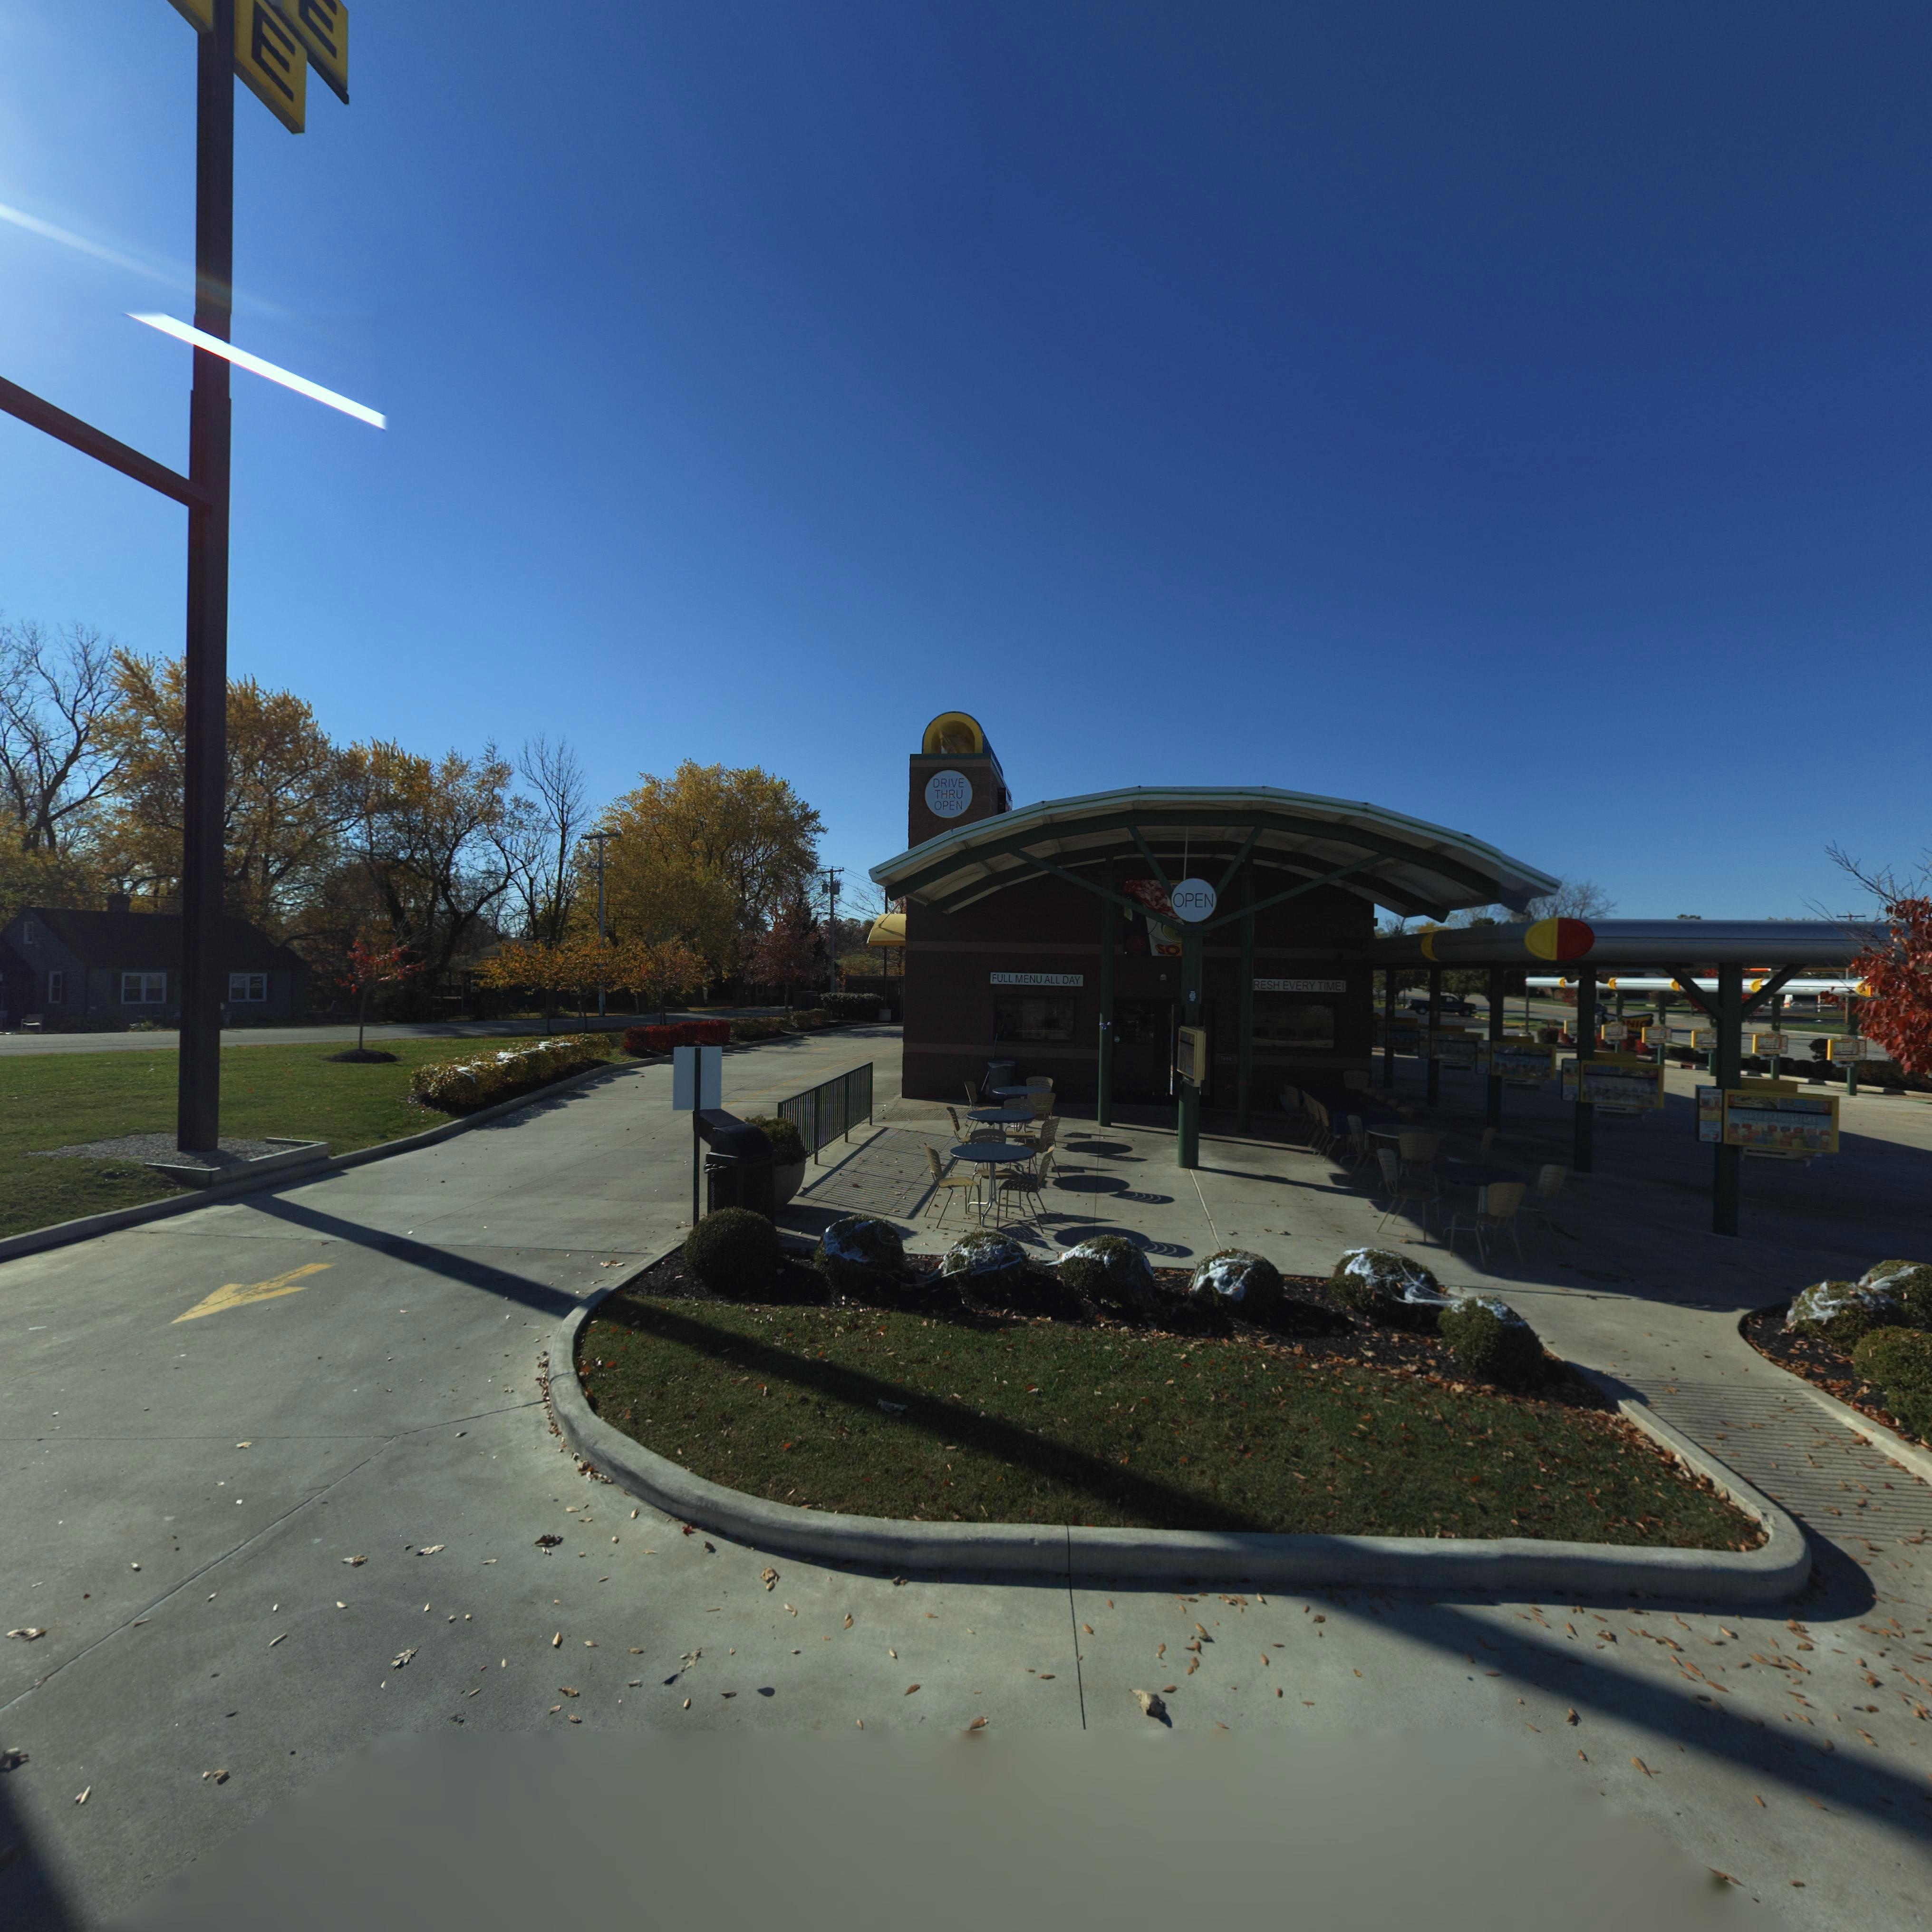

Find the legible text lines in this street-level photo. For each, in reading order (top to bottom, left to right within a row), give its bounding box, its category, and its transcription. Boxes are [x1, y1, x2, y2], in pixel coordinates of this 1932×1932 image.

[1220, 1055, 1232, 1062] StreetNumber: 7*88